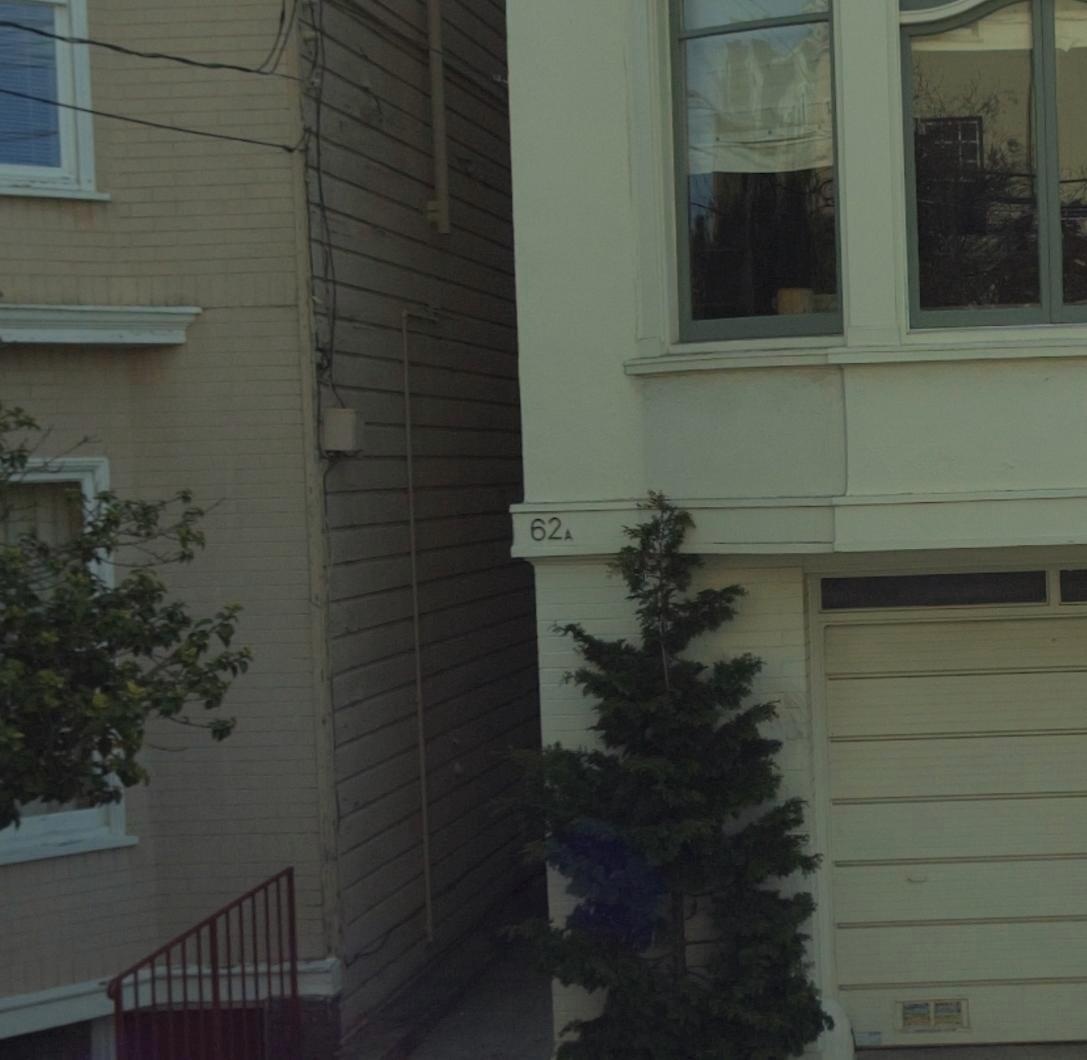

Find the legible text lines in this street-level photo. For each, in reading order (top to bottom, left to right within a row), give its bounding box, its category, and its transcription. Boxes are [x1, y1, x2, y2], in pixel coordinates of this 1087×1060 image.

[529, 516, 575, 542] StreetNumber: 62A